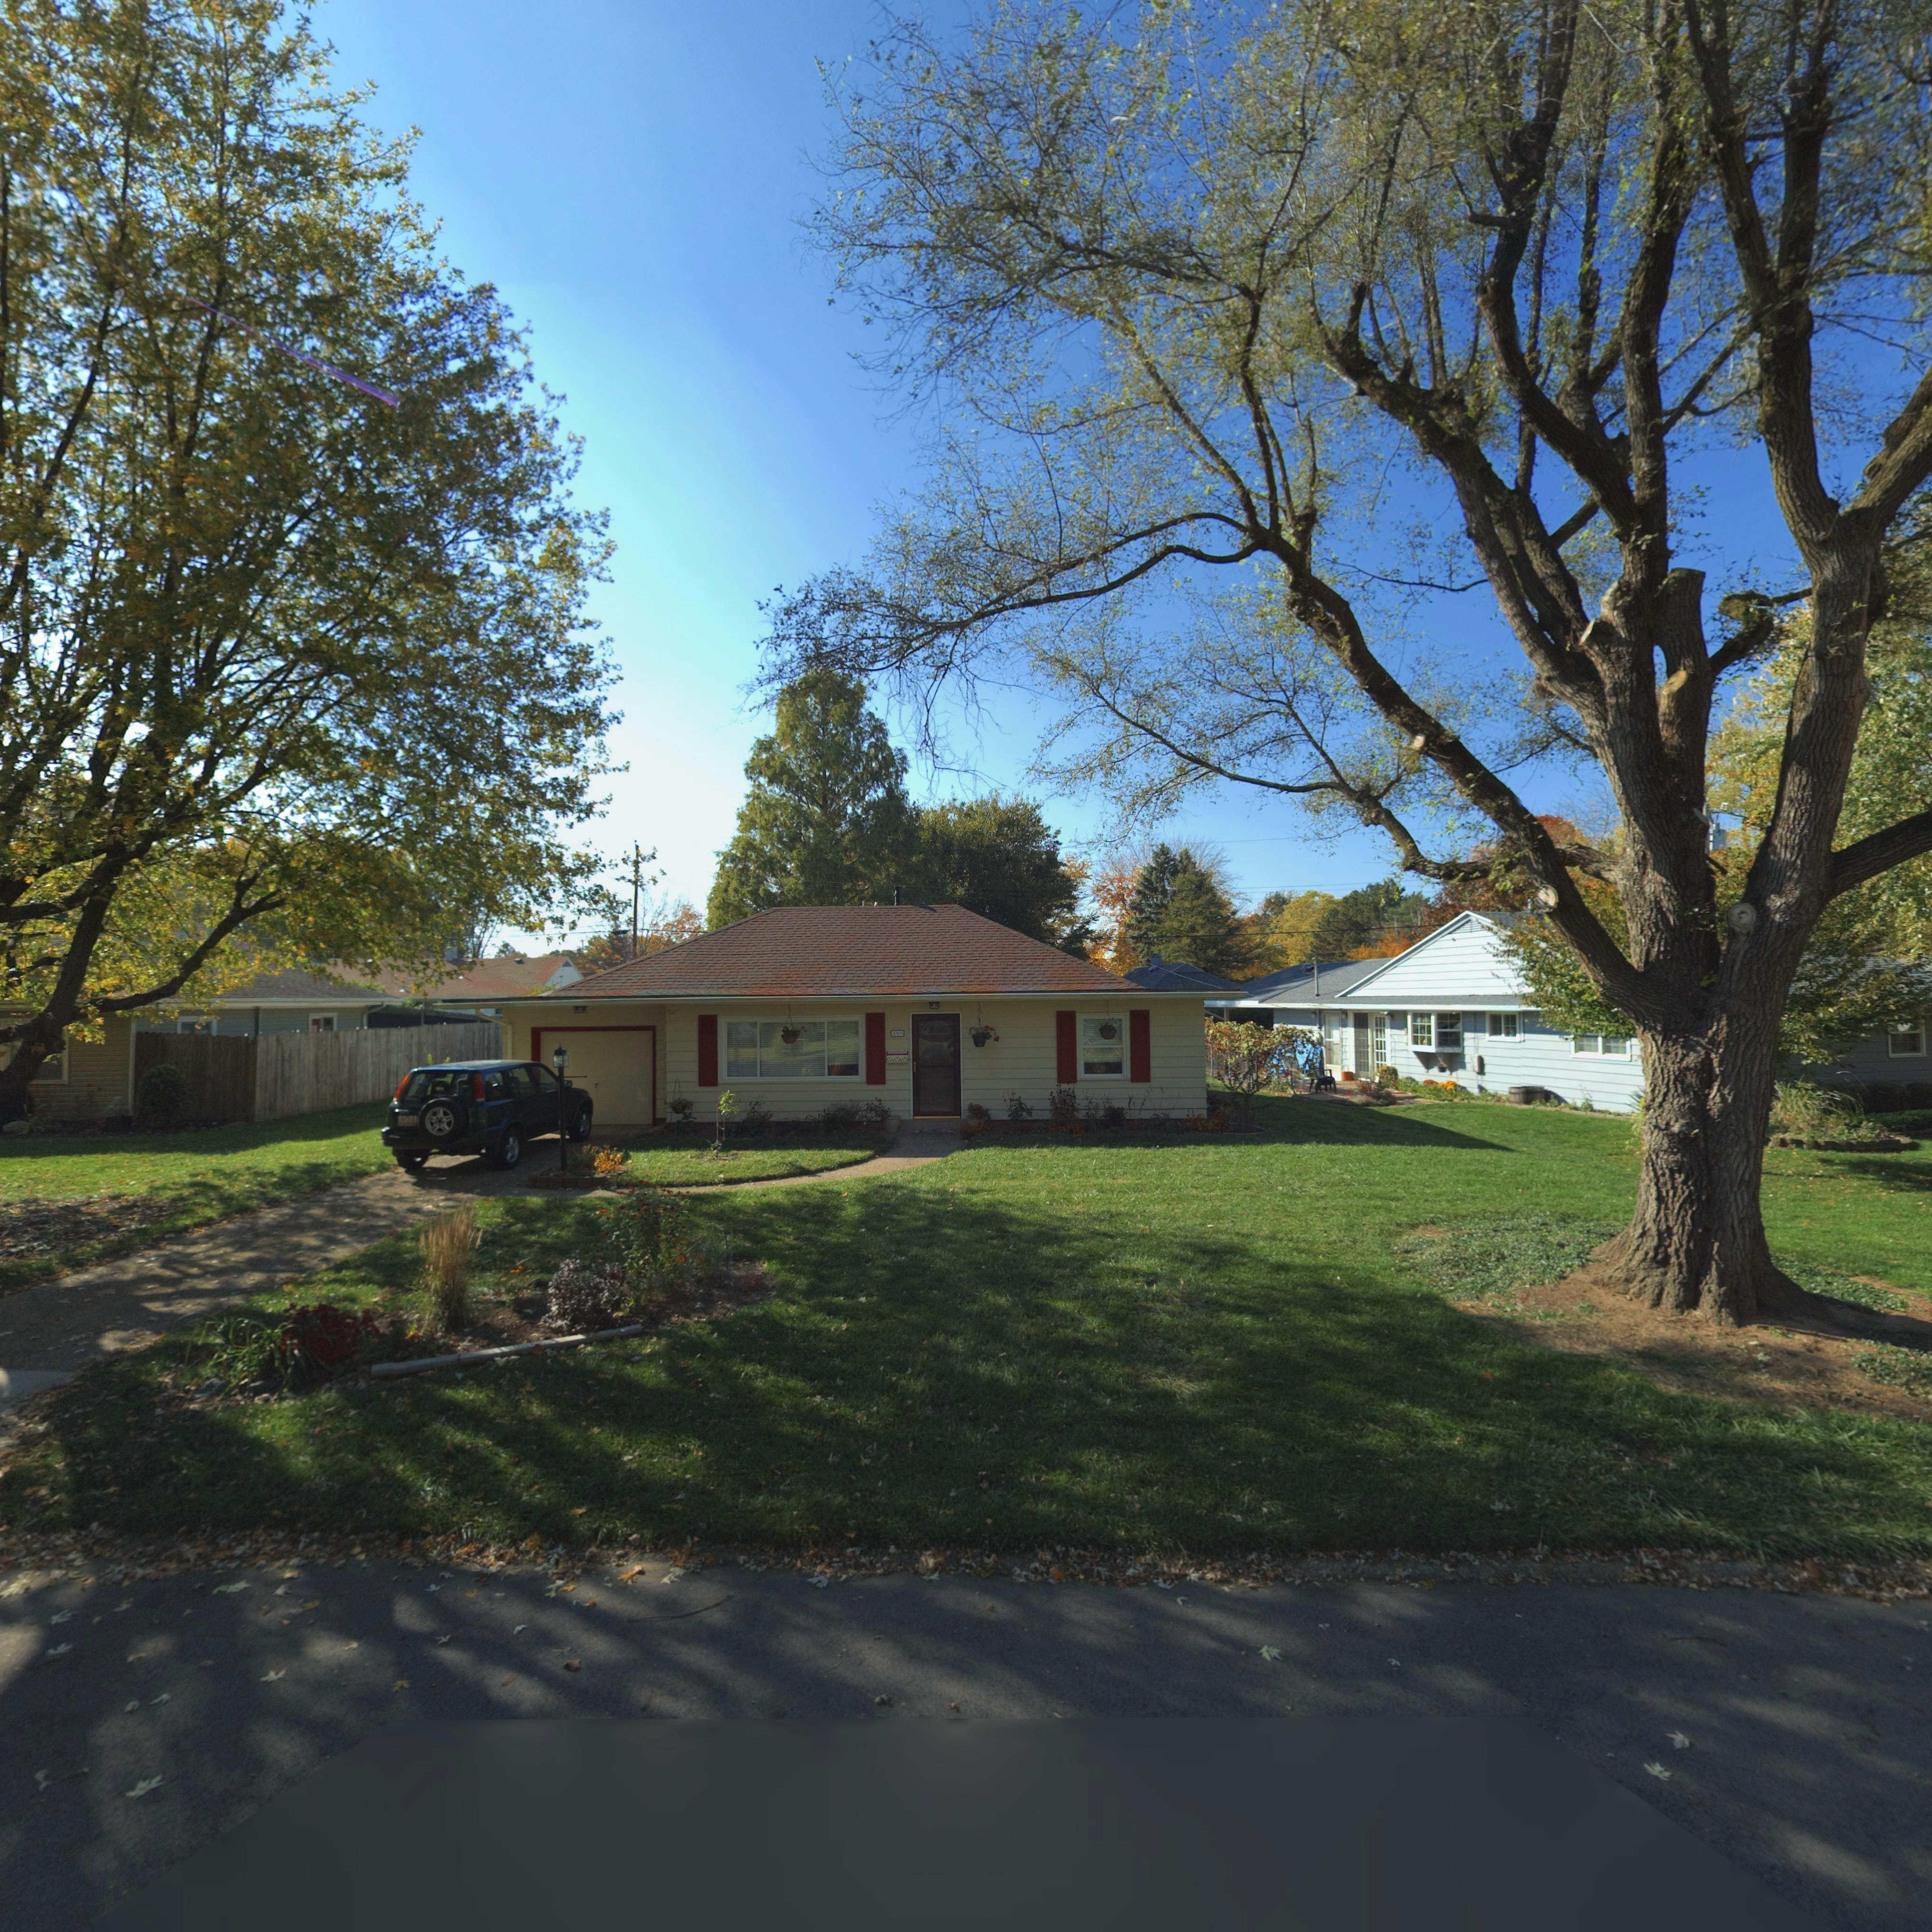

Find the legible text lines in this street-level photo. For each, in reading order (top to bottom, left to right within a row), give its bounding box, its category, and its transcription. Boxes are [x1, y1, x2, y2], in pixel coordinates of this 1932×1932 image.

[892, 1031, 902, 1036] None: 3709